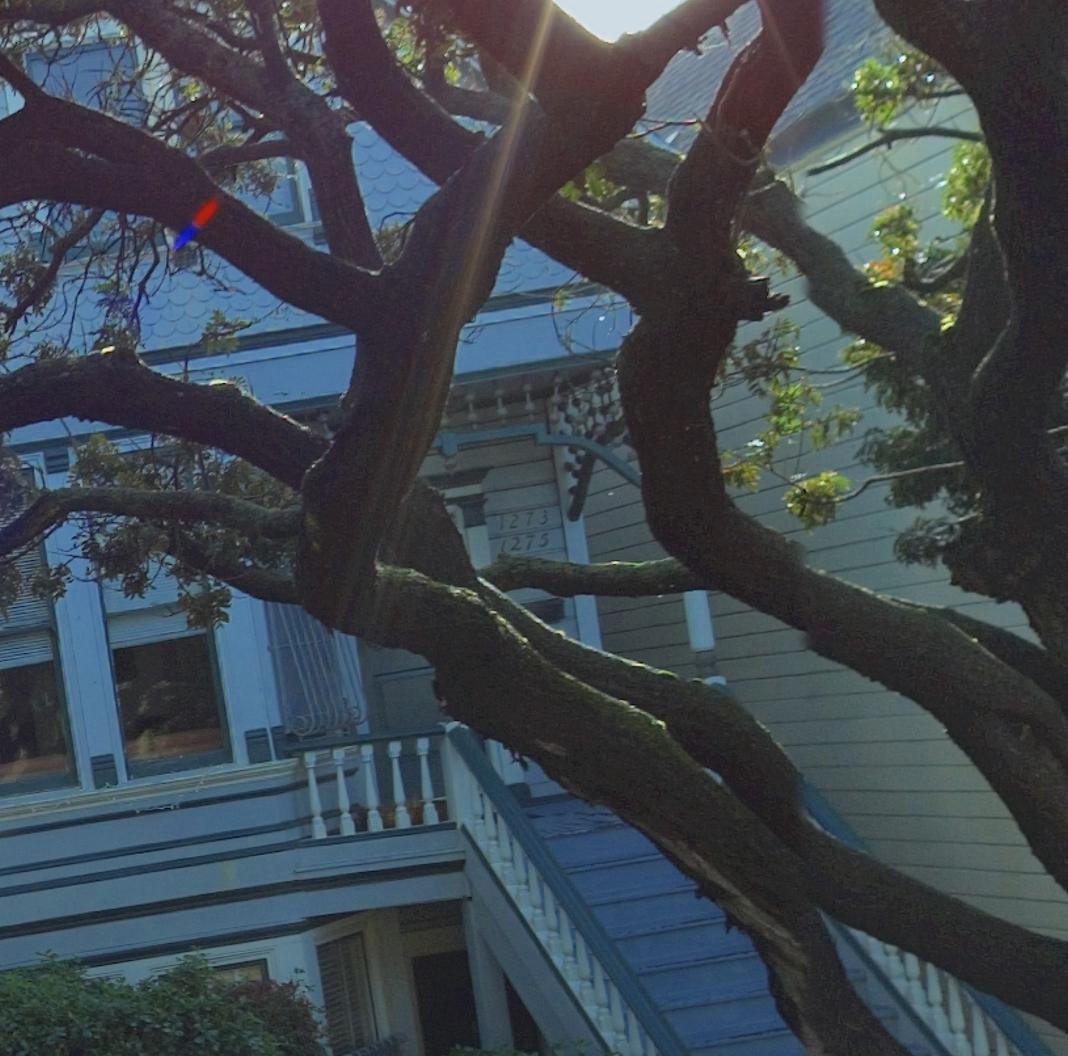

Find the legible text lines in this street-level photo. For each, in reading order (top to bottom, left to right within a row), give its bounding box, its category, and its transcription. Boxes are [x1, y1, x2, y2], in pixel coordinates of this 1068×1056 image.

[497, 510, 549, 530] StreetNumber: 1273
[500, 532, 550, 553] StreetNumber: 1275